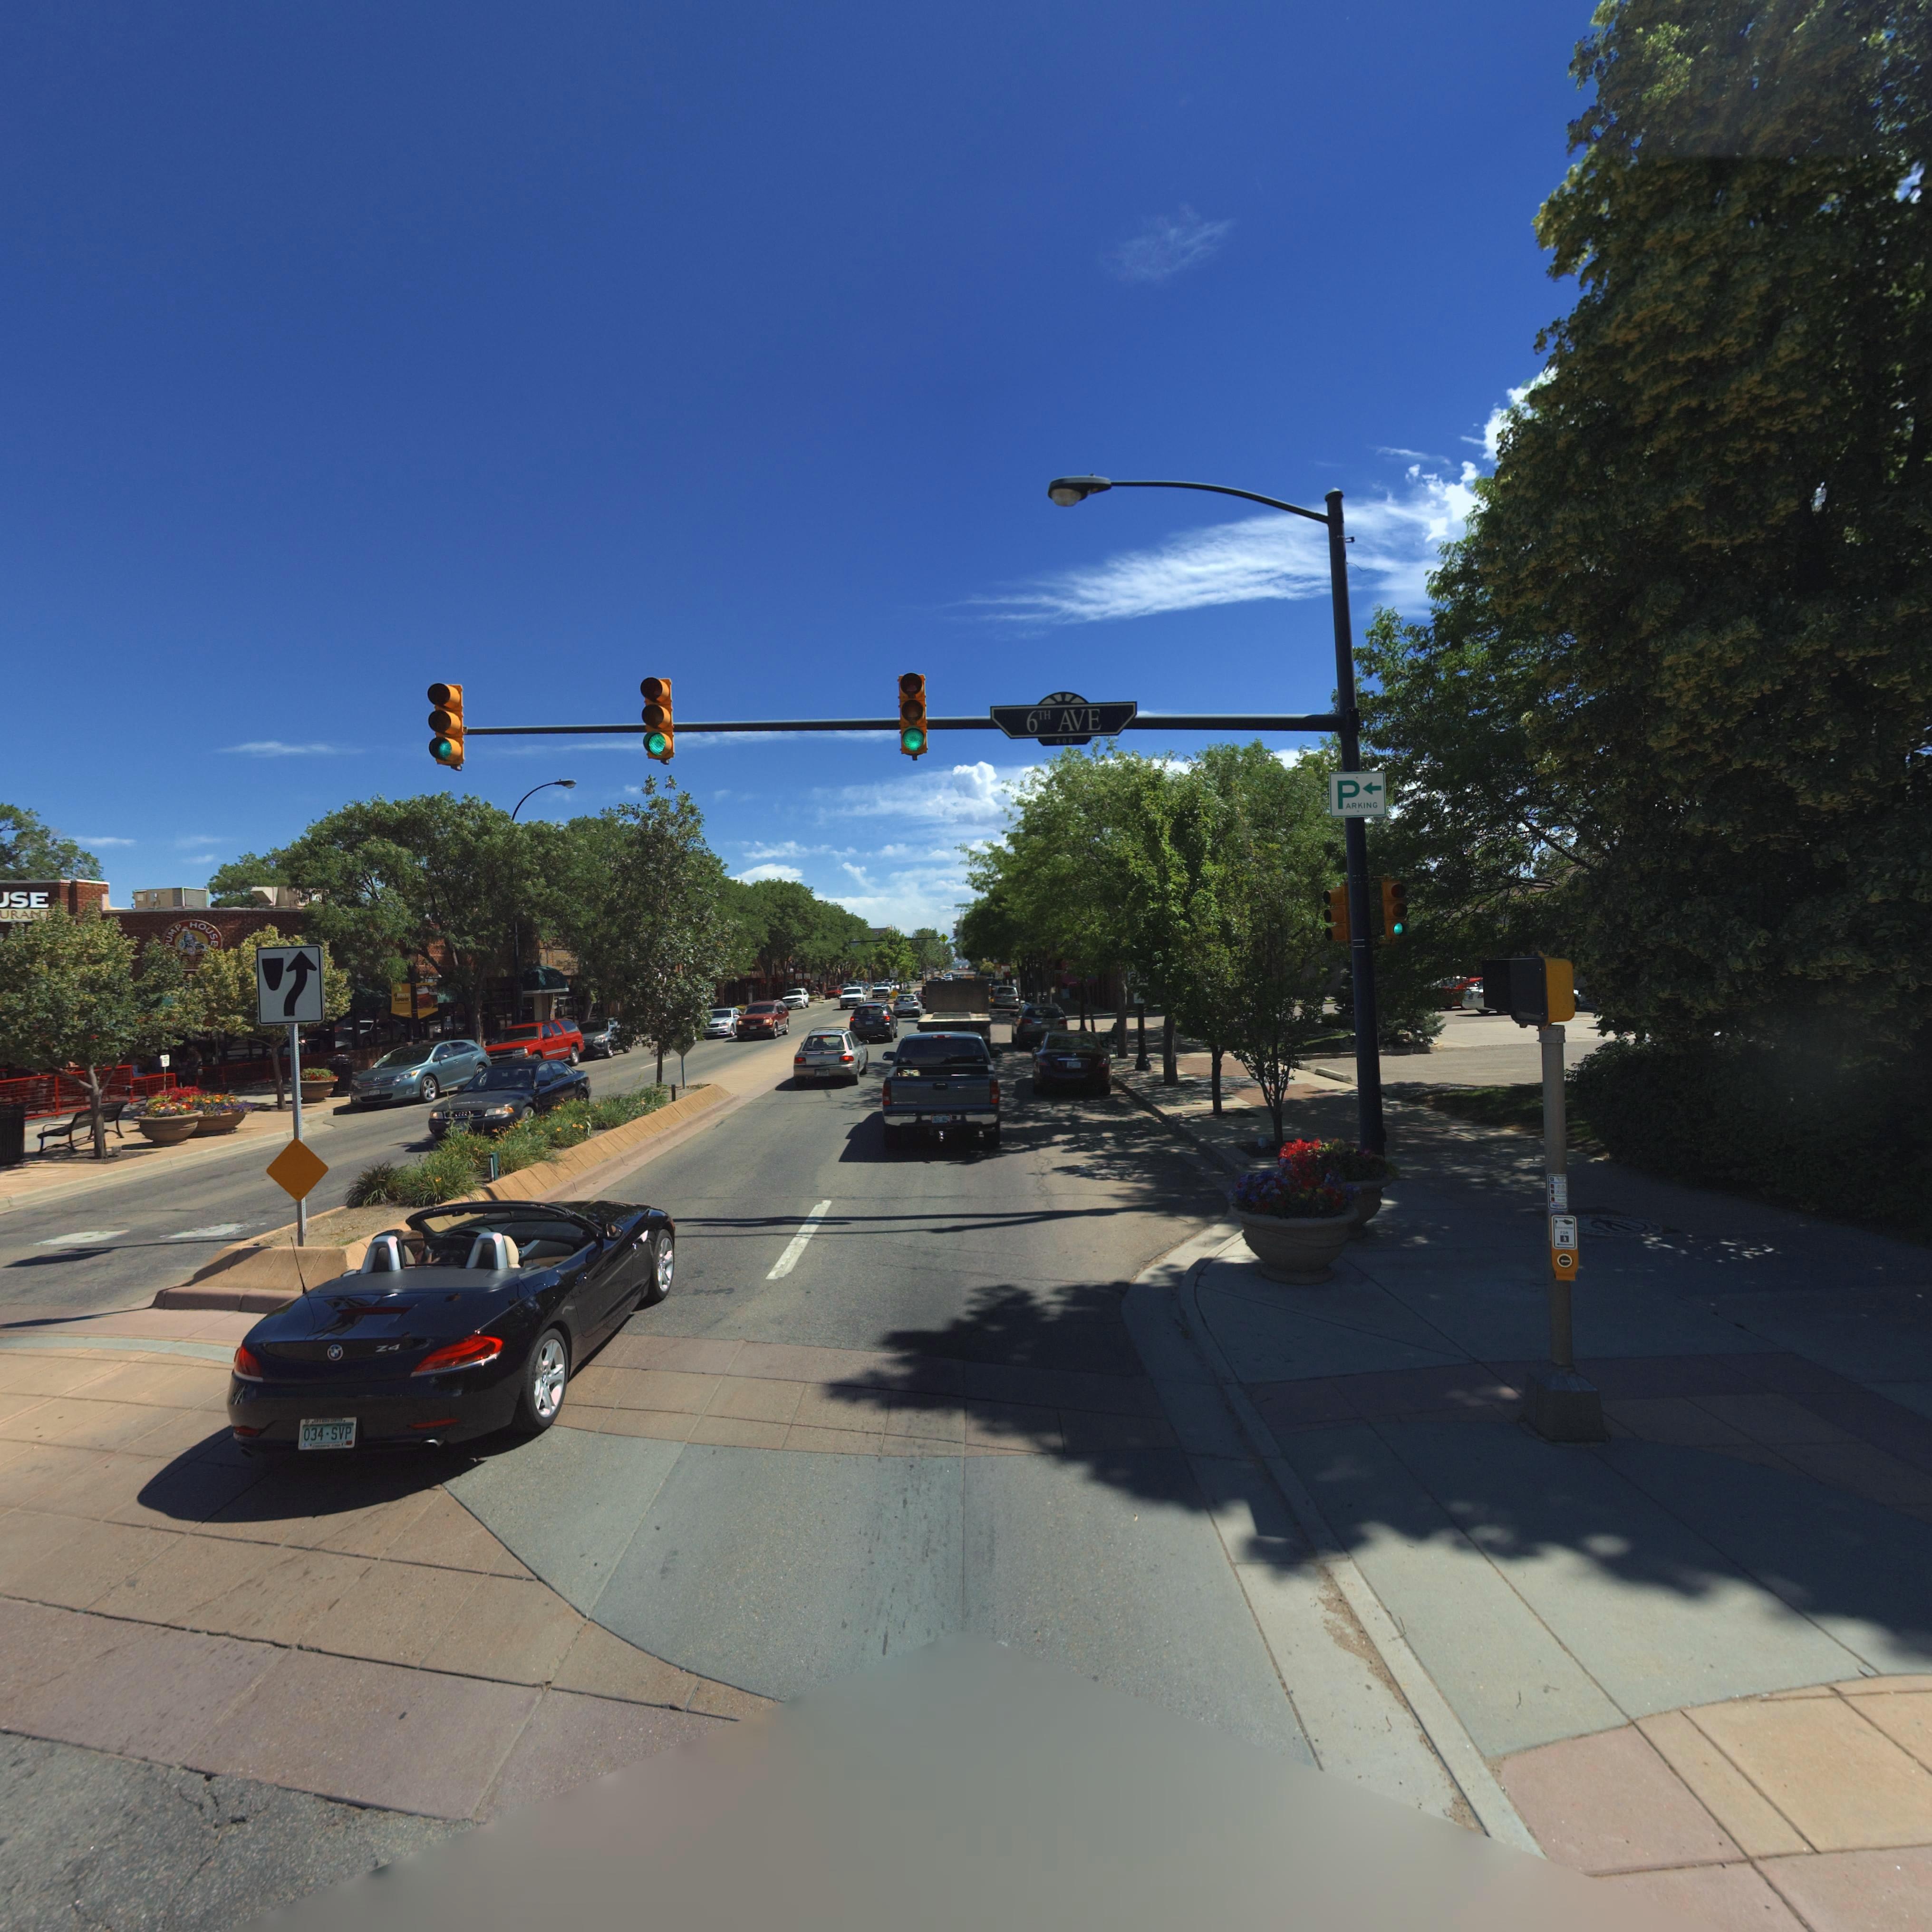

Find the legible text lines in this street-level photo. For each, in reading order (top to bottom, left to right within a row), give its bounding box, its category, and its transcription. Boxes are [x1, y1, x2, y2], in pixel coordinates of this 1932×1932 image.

[1026, 708, 1102, 733] StreetName: 6TH AVE
[1056, 737, 1073, 744] StreetNumberRange: 600
[10, 891, 49, 908] BusinessName: SE
[10, 910, 52, 919] BusinessName: RA**
[165, 921, 219, 948] BusinessName: PUMP HOUSE